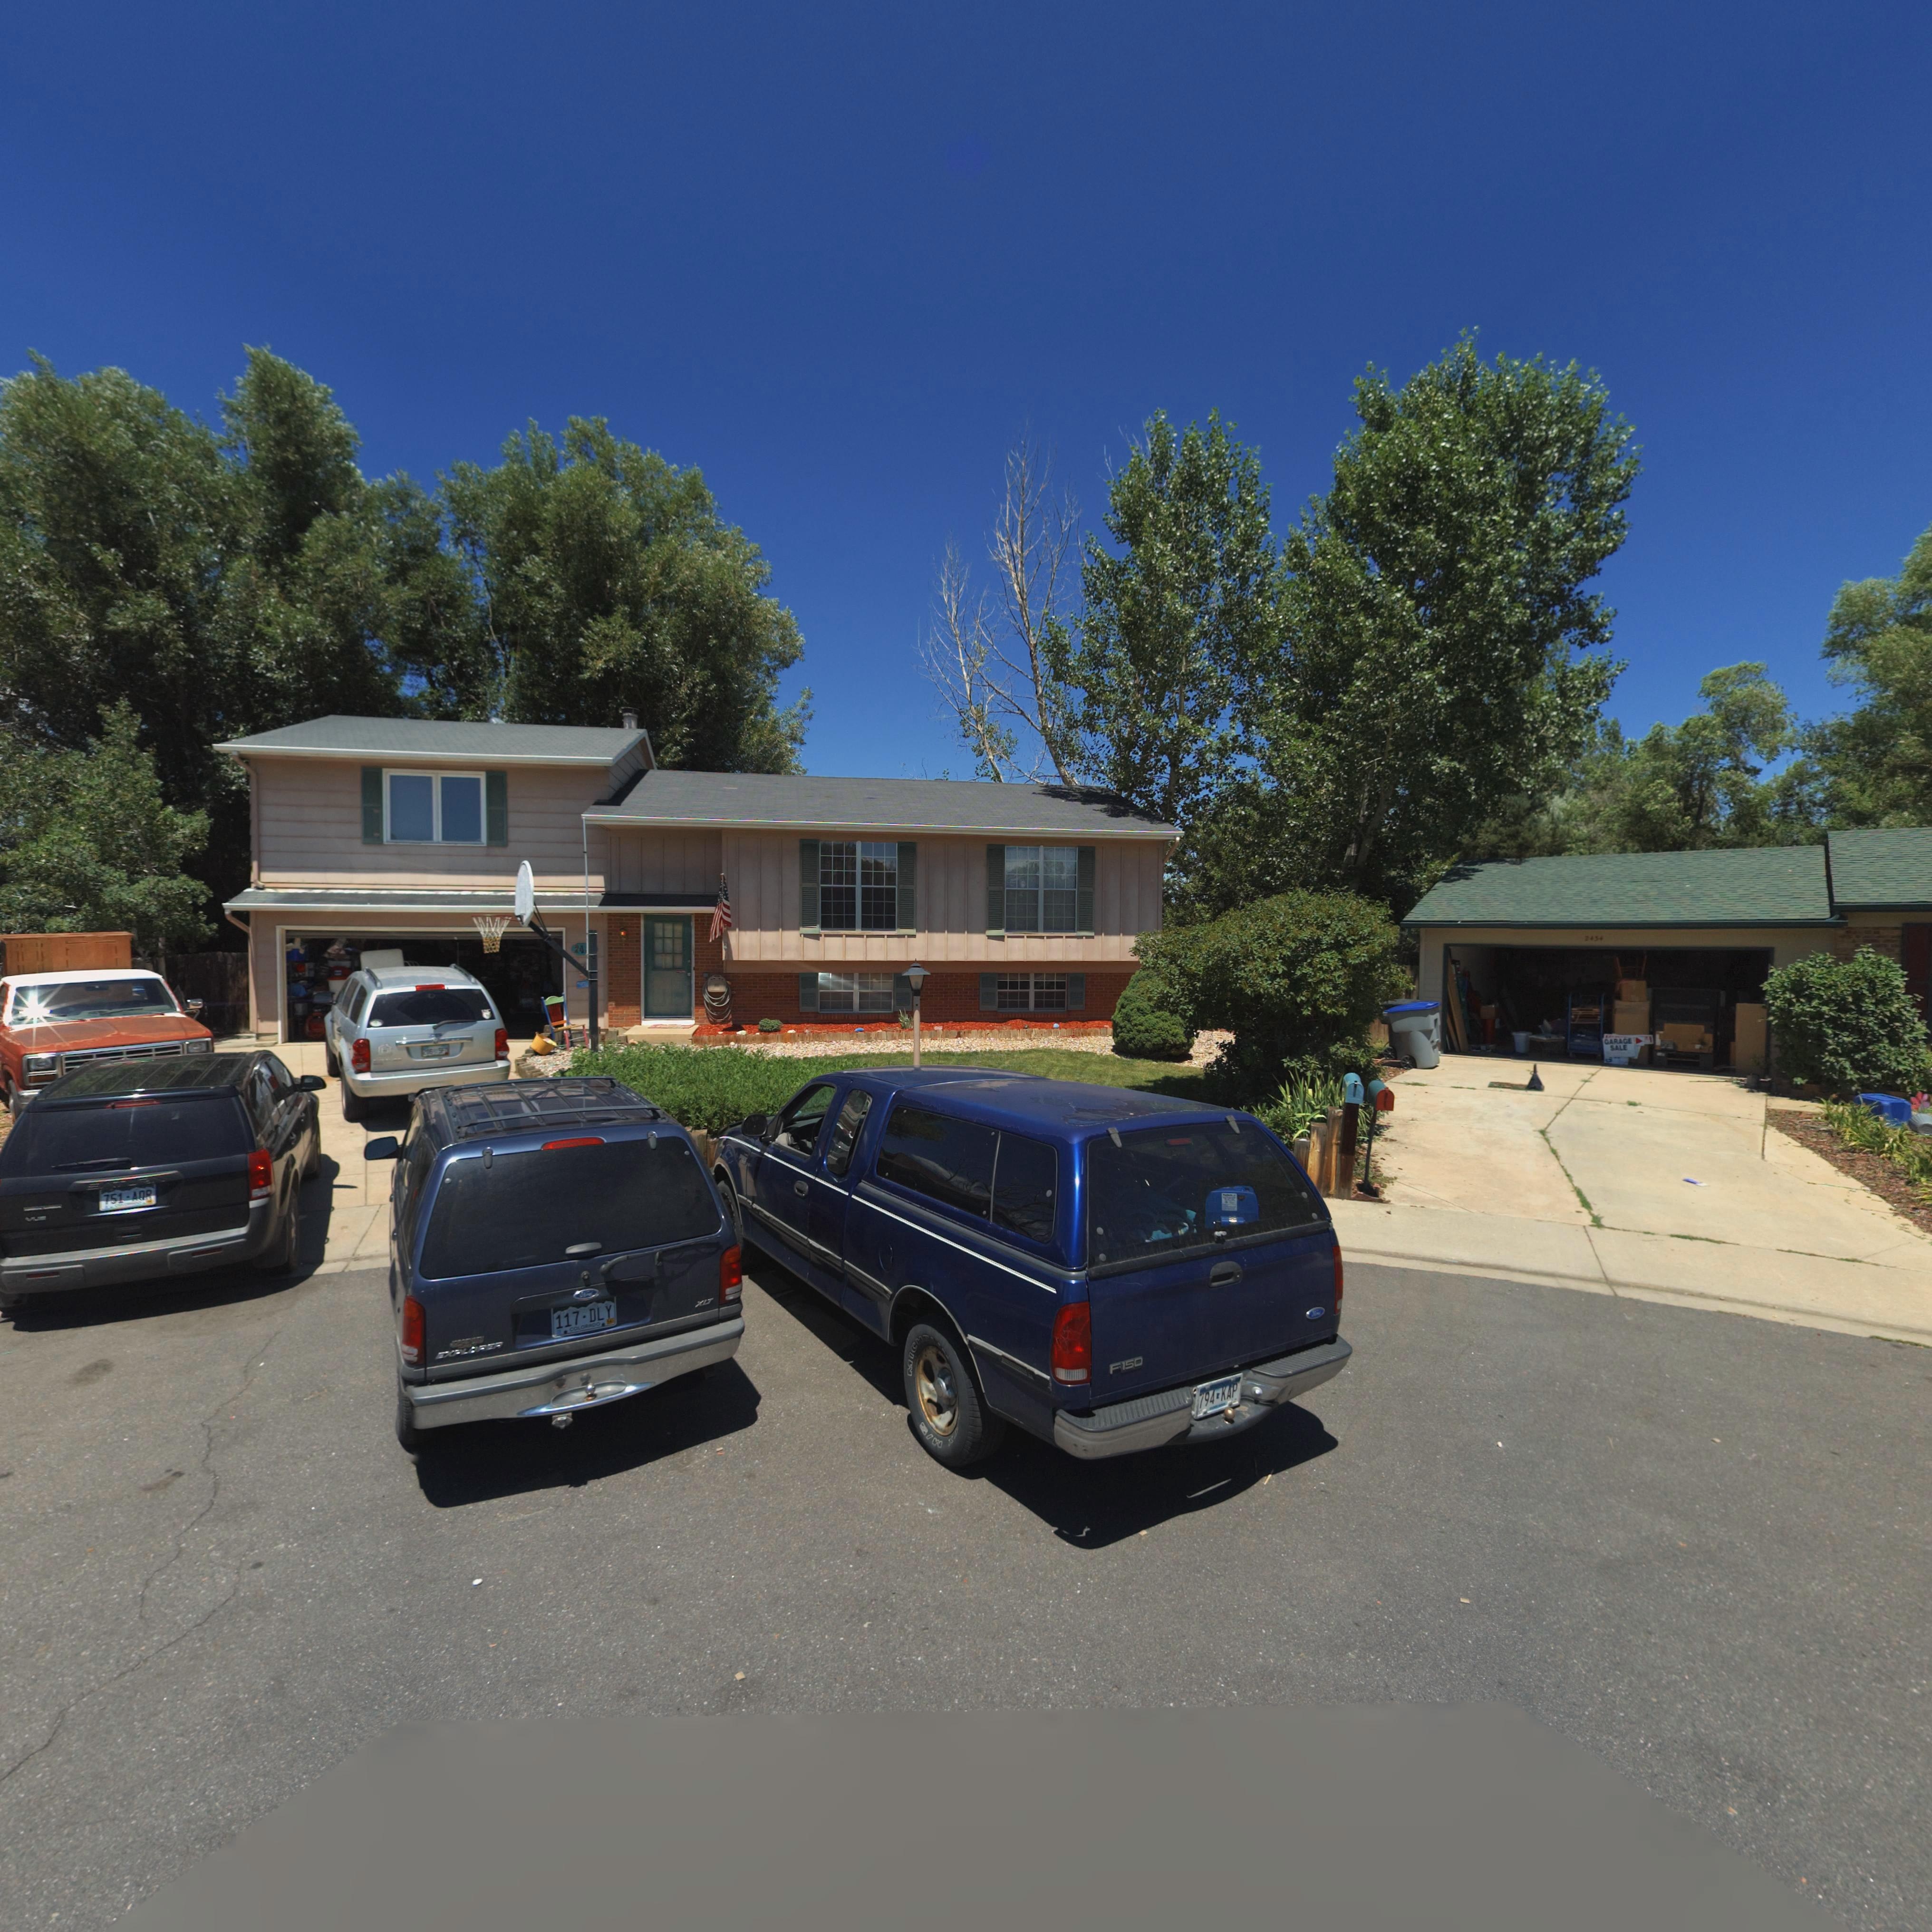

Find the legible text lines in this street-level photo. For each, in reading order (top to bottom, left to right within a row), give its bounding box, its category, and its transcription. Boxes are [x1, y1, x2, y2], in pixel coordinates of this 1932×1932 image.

[1584, 935, 1603, 942] StreetNumber: 2434
[574, 945, 594, 954] StreetNumber: 24**